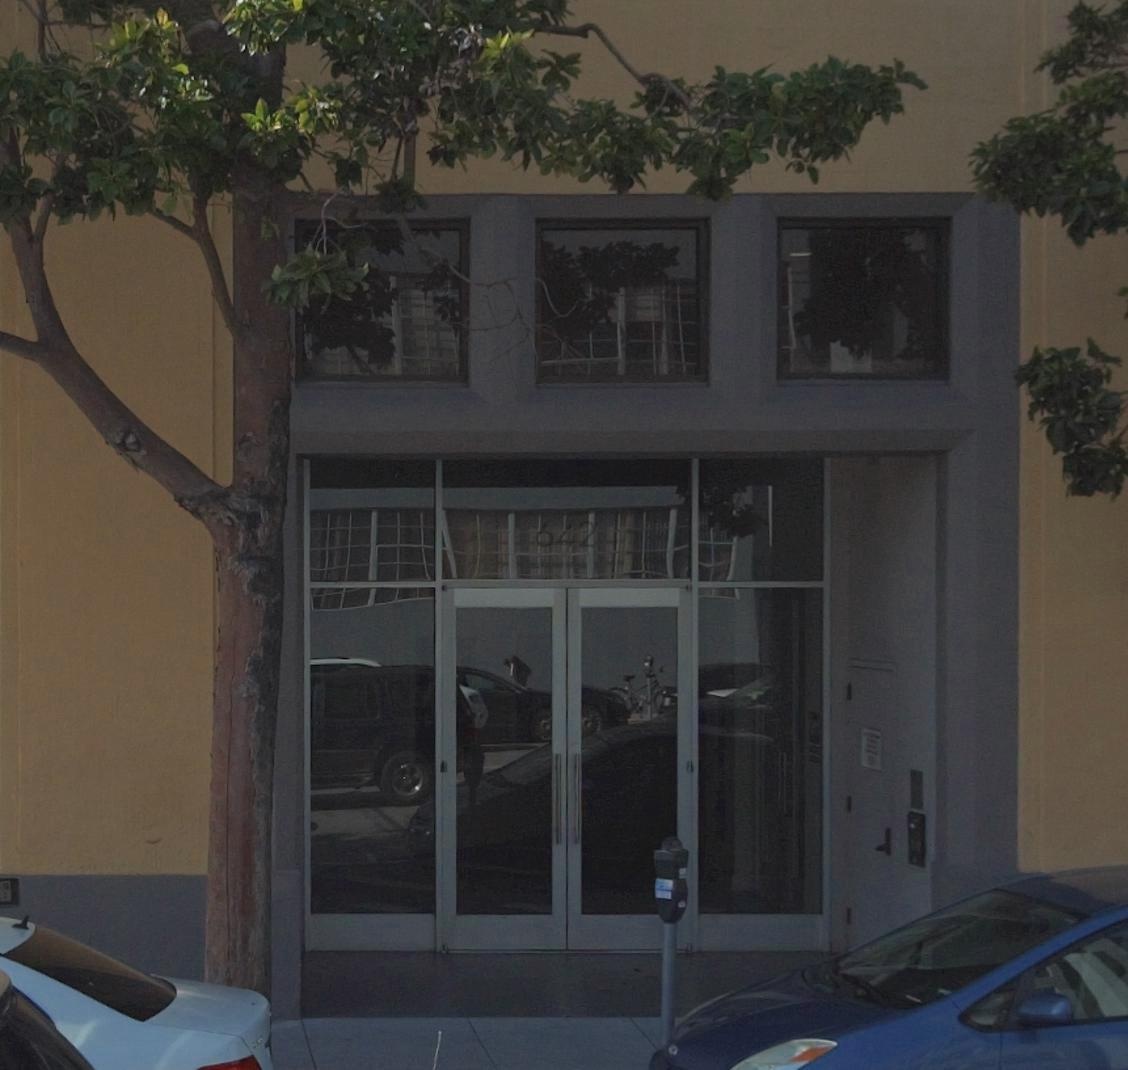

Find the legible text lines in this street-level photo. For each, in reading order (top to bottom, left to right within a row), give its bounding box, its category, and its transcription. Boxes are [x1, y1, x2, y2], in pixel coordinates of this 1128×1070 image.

[533, 520, 597, 549] StreetNumber: 642